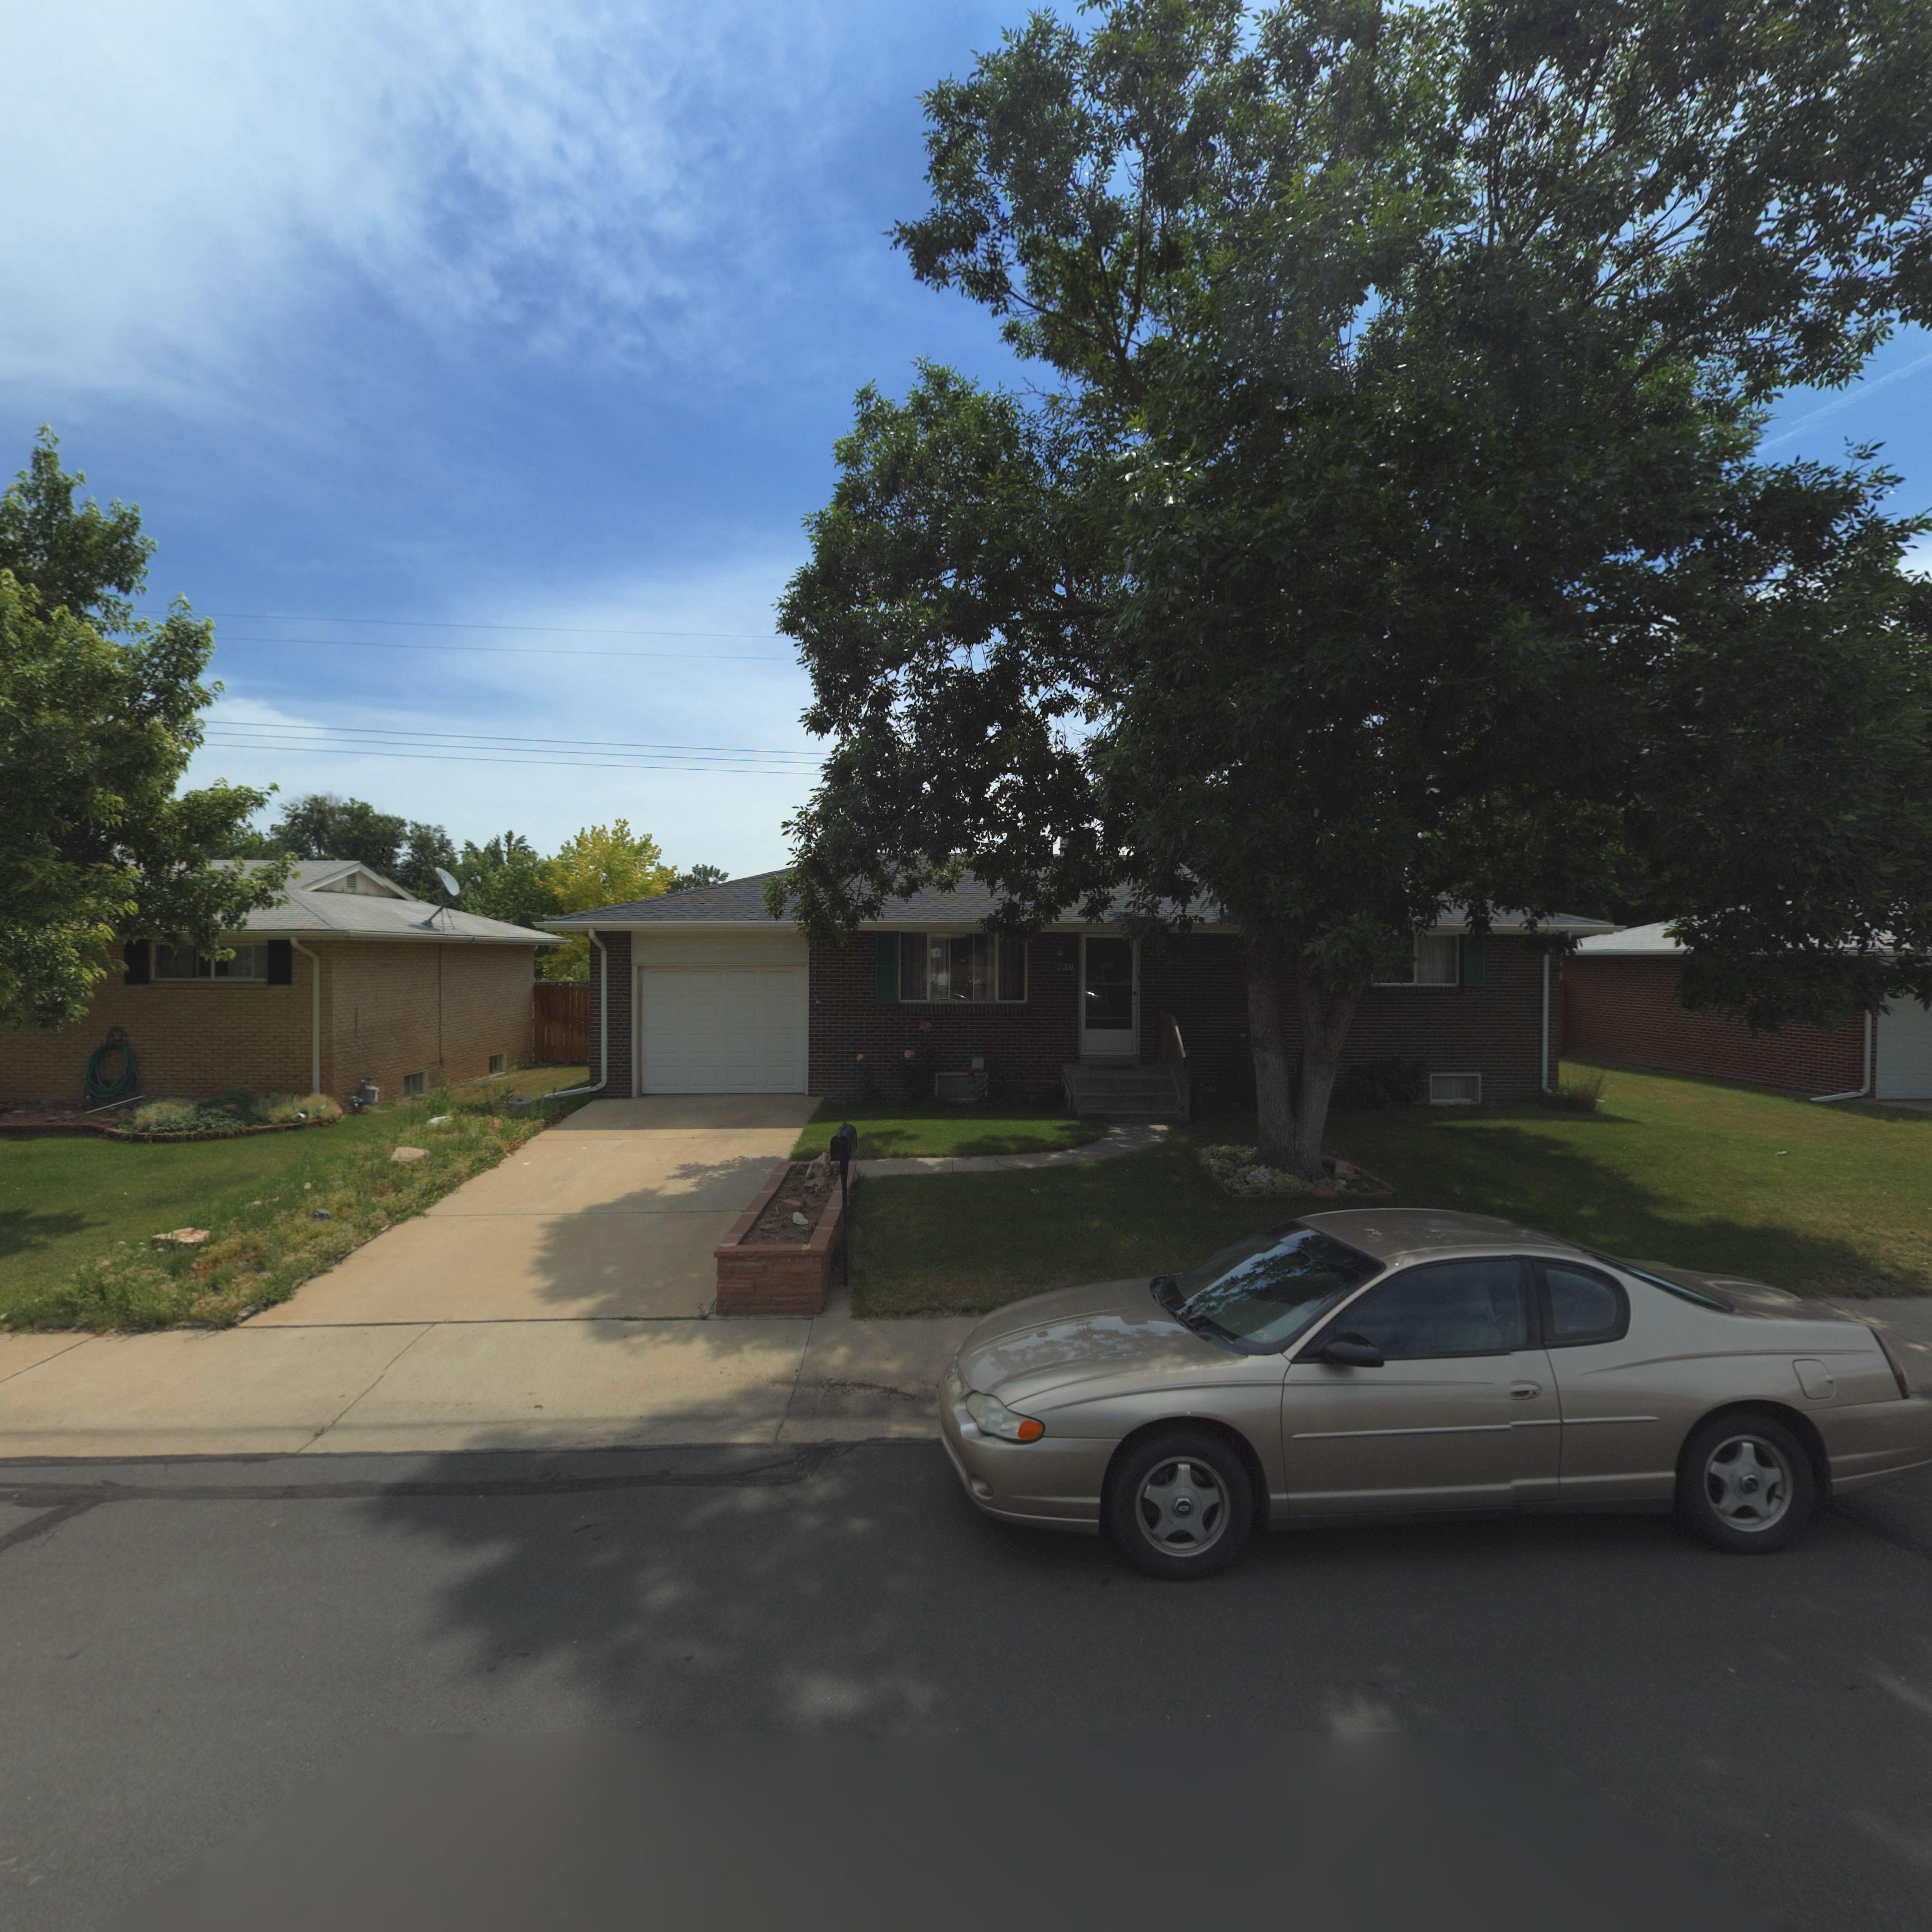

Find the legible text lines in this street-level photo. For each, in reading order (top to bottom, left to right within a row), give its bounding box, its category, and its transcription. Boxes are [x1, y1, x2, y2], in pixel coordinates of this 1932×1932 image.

[1056, 963, 1073, 971] StreetNumber: 730